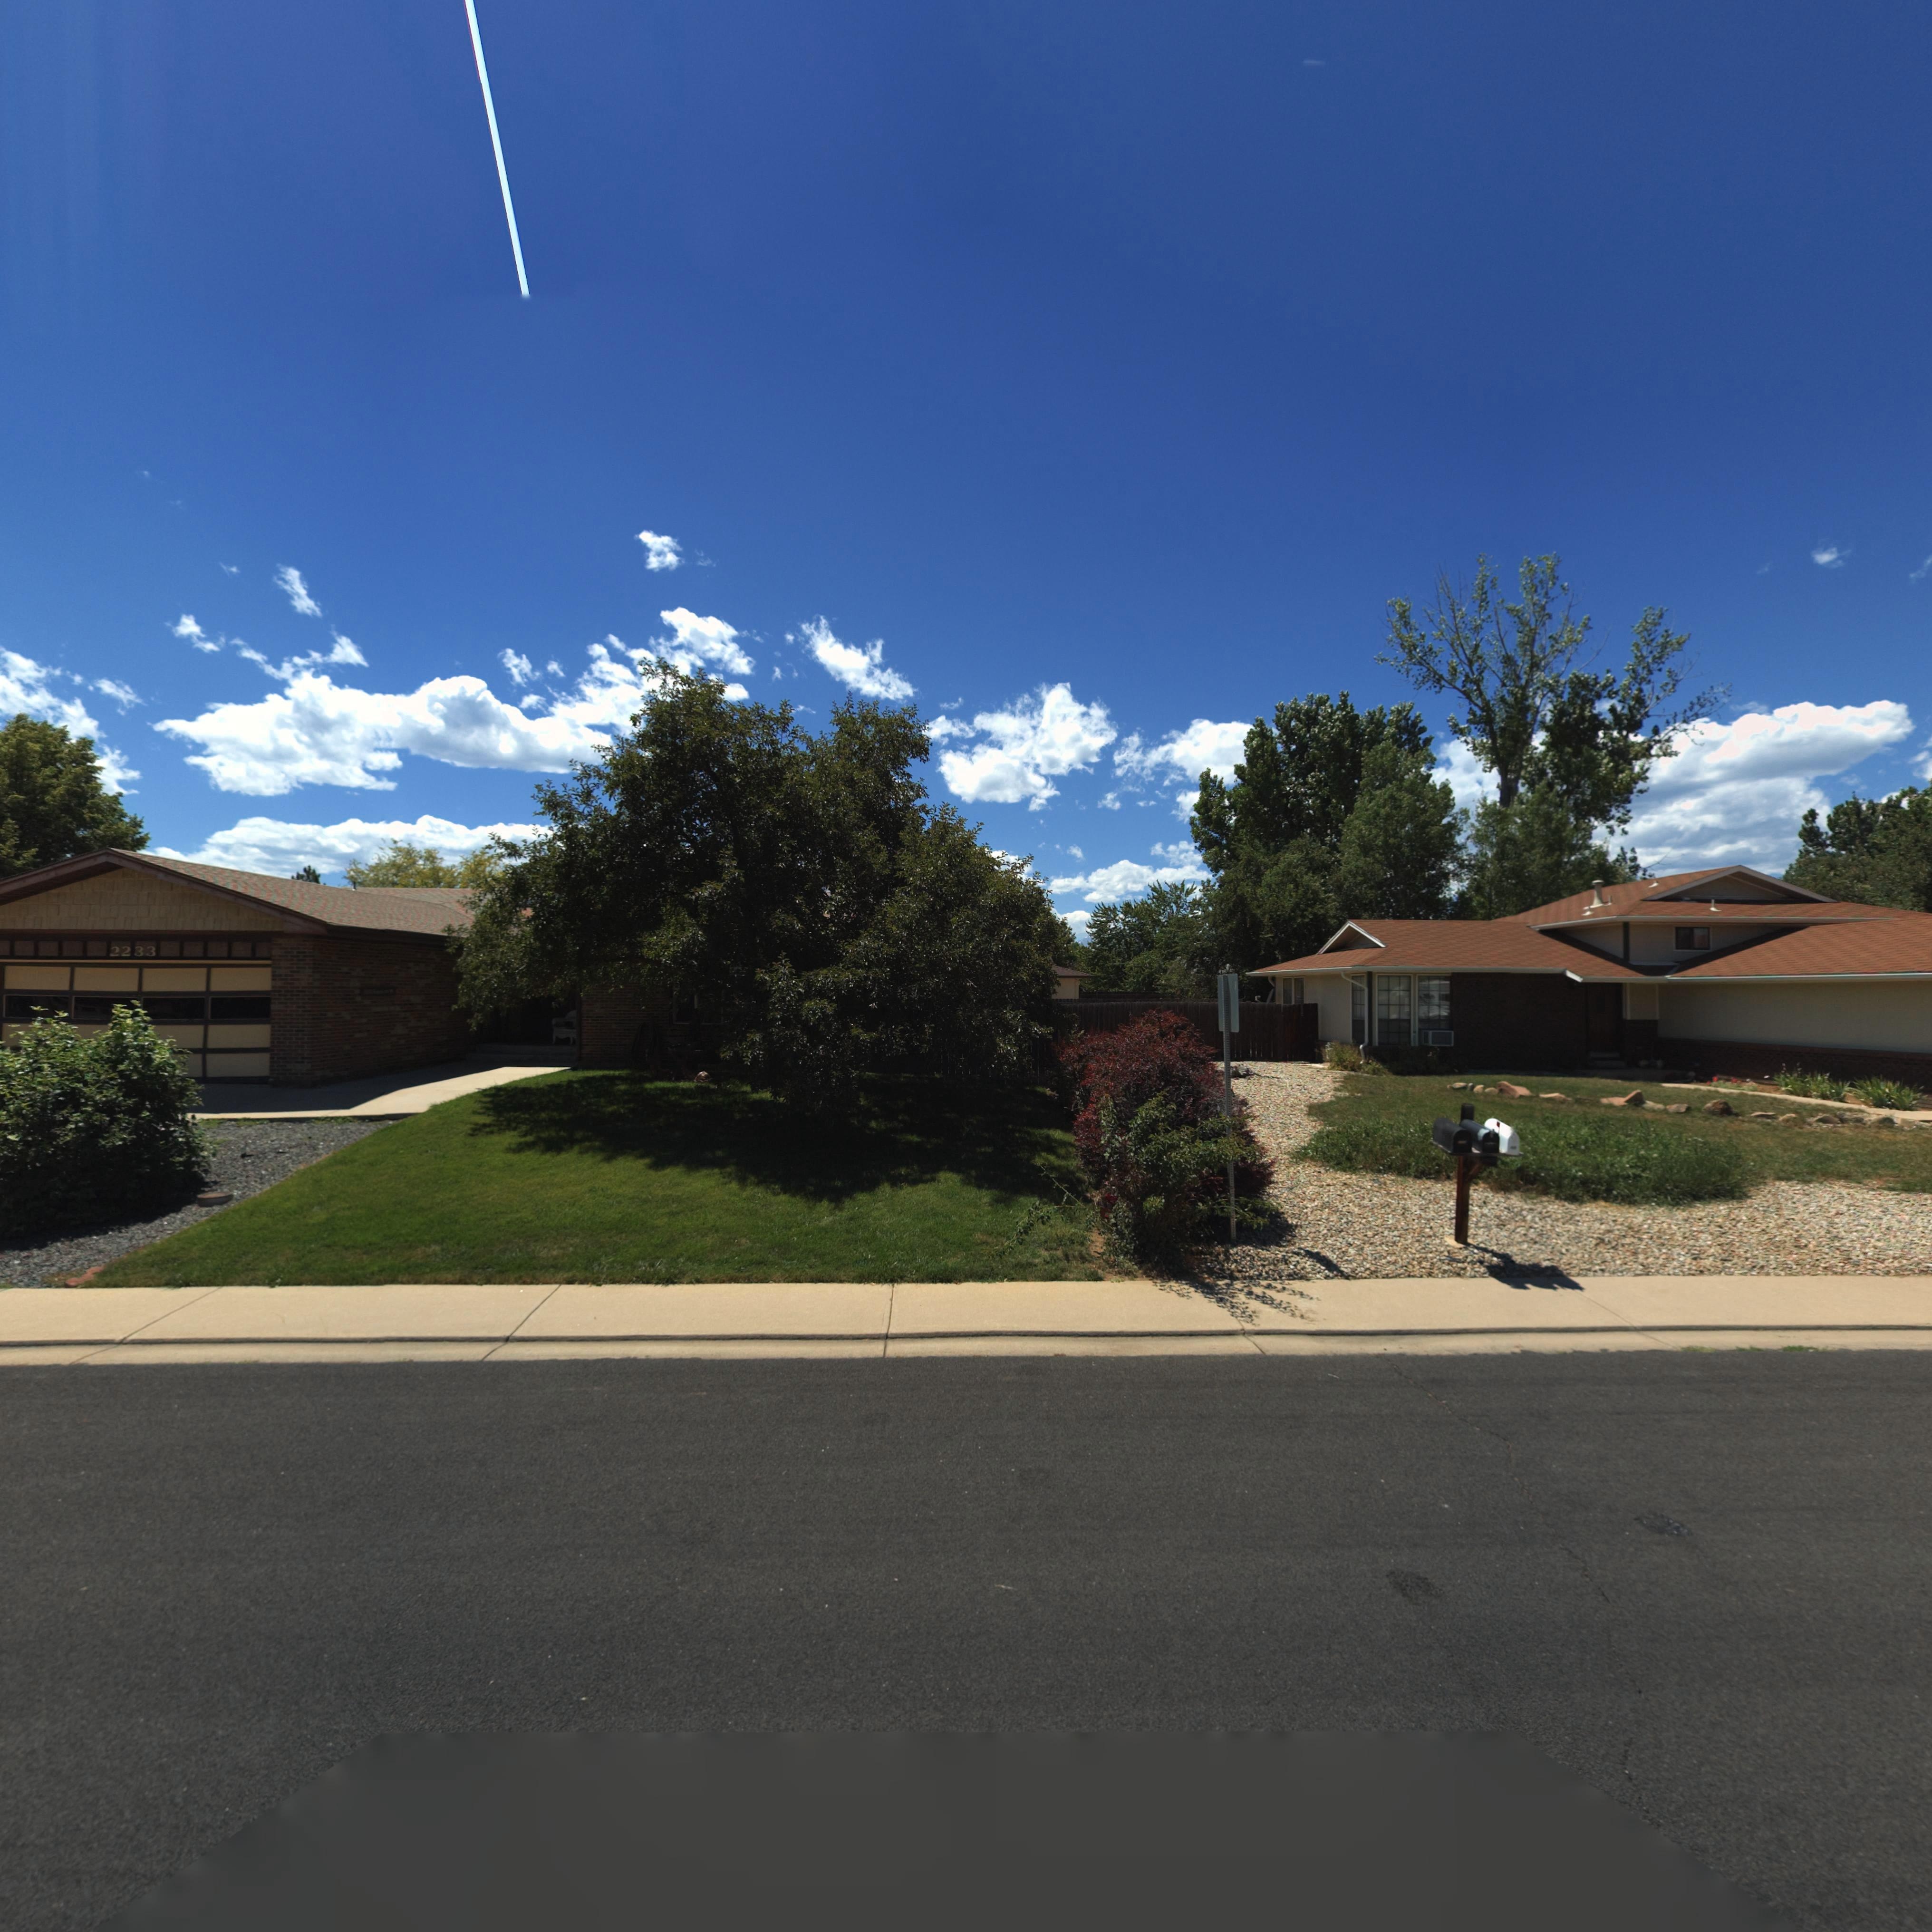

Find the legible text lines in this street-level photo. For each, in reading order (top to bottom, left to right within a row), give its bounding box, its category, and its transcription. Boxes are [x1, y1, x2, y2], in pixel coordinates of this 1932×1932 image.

[109, 946, 156, 956] StreetNumber: 2233